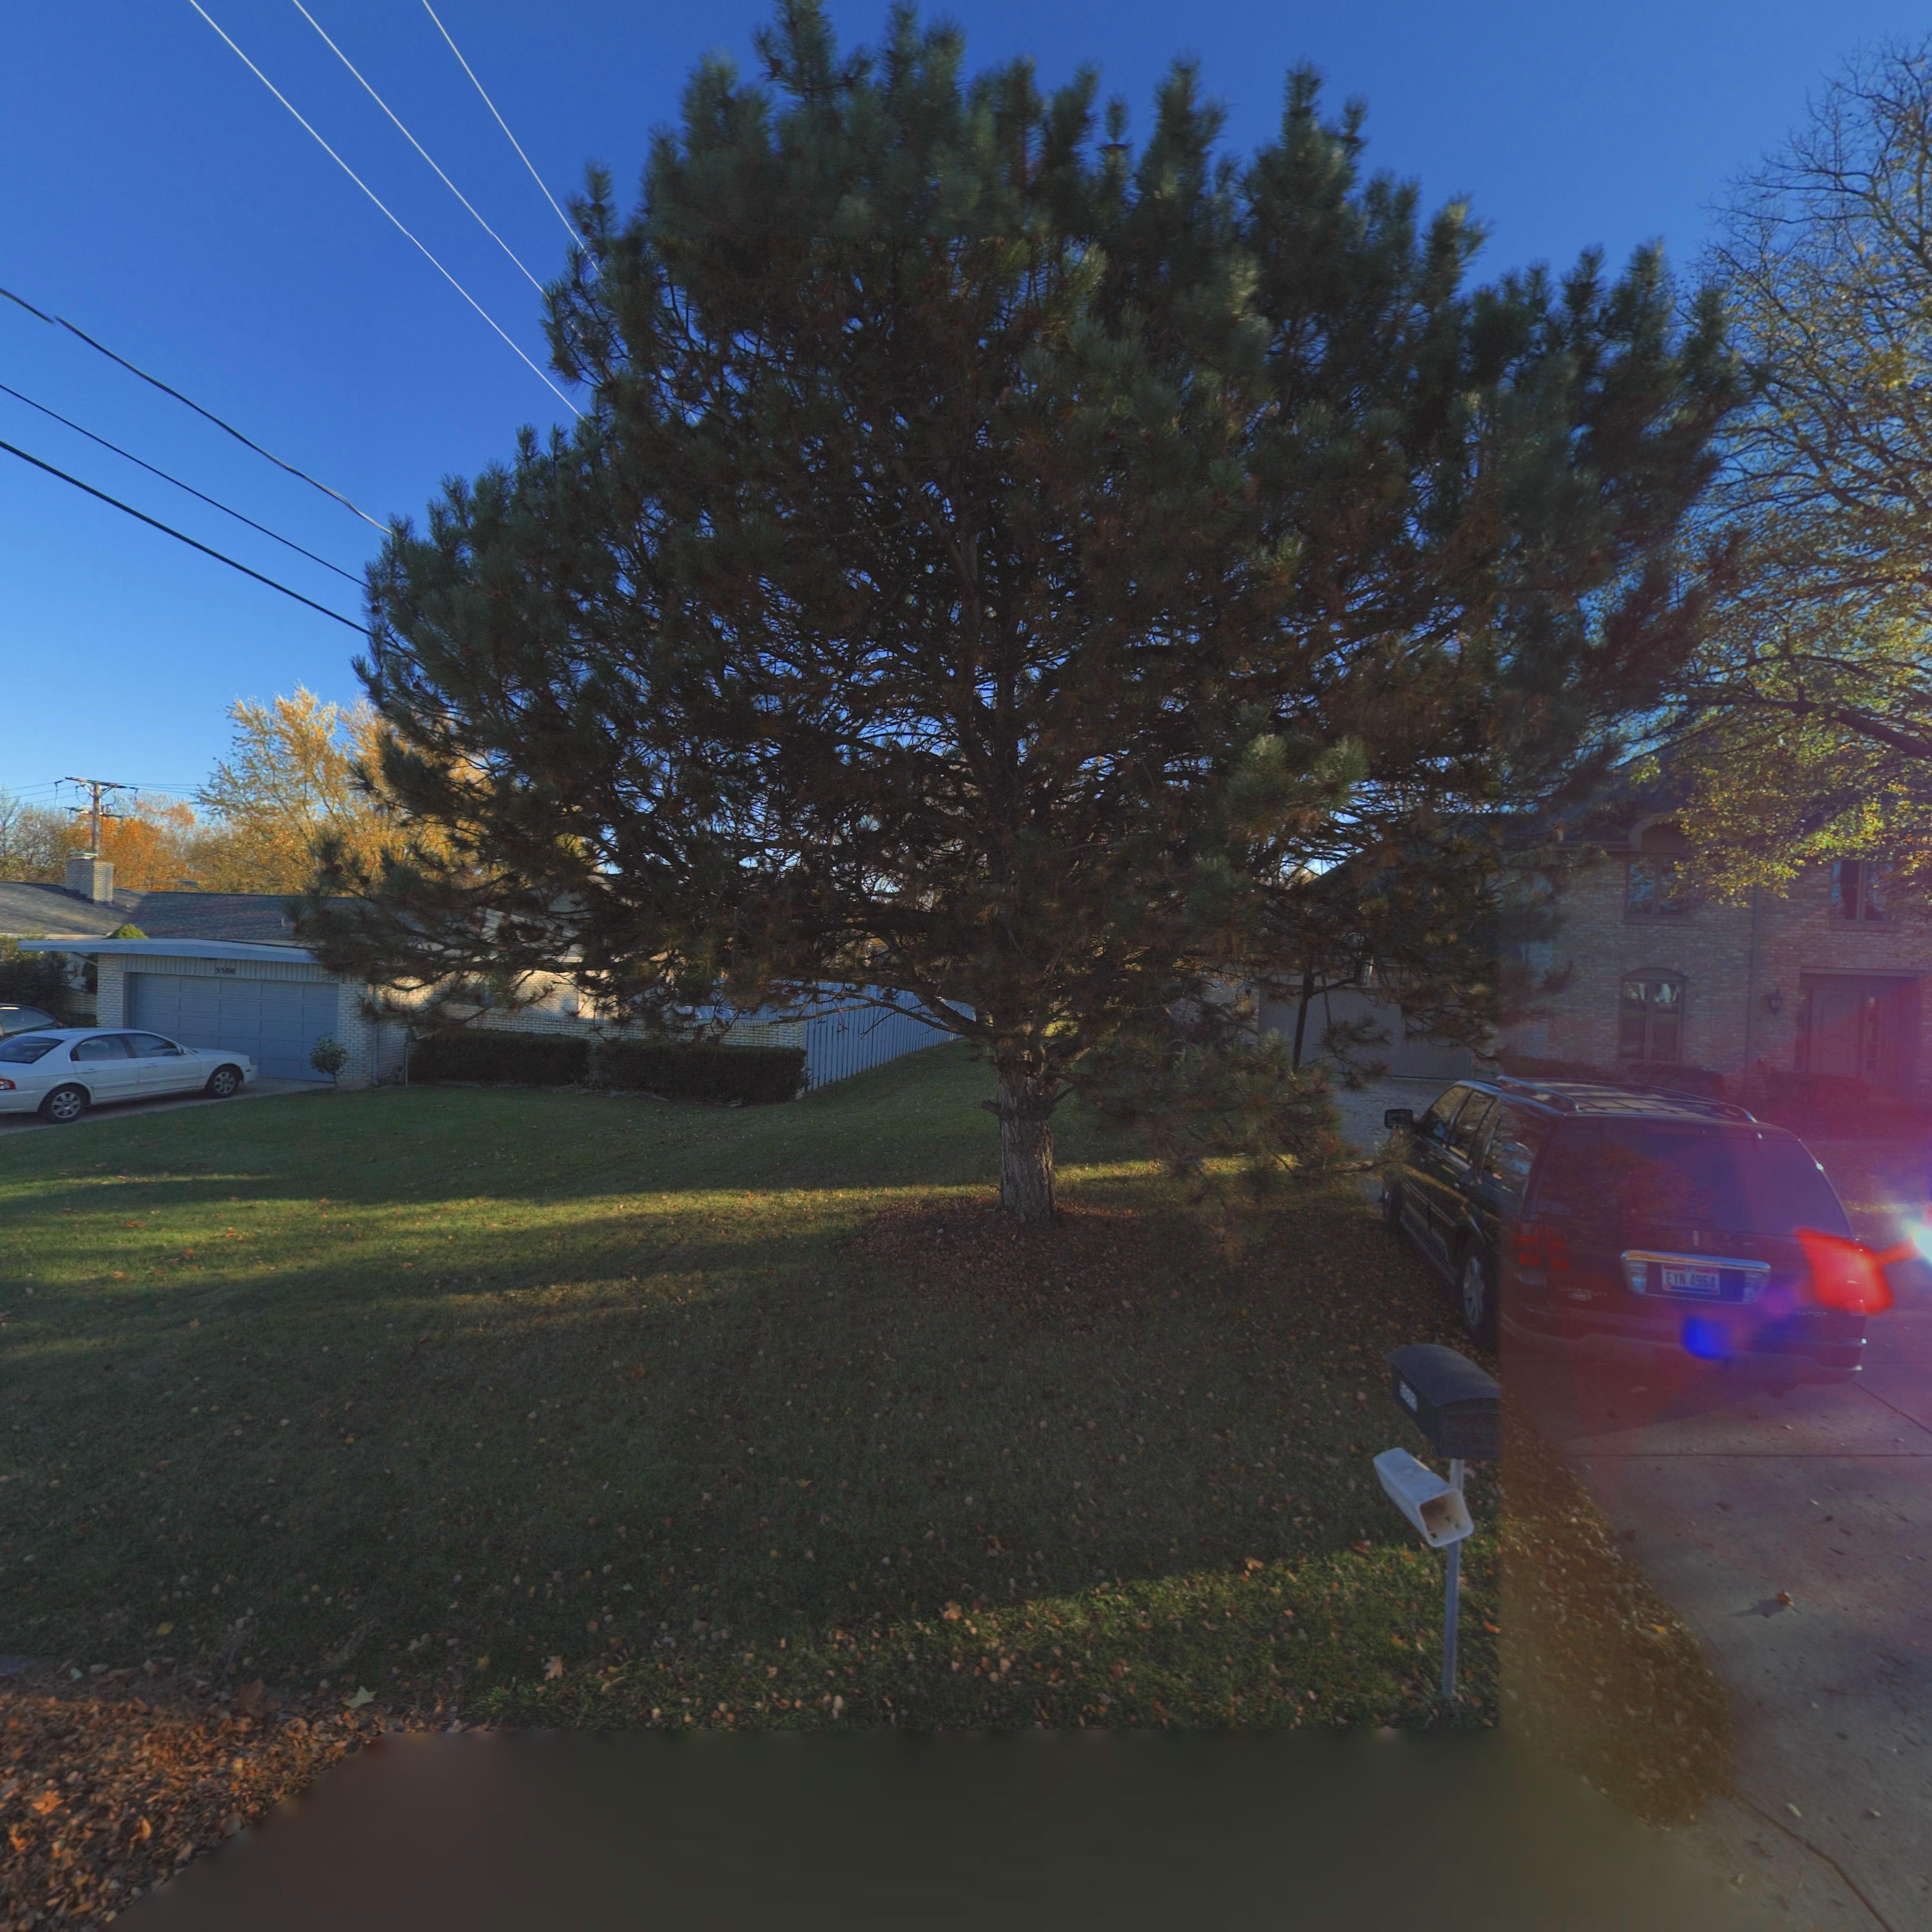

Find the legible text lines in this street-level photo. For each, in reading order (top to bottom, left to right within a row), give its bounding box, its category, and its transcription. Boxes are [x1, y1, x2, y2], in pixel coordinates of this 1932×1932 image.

[213, 966, 236, 976] StreetNumber: 5500